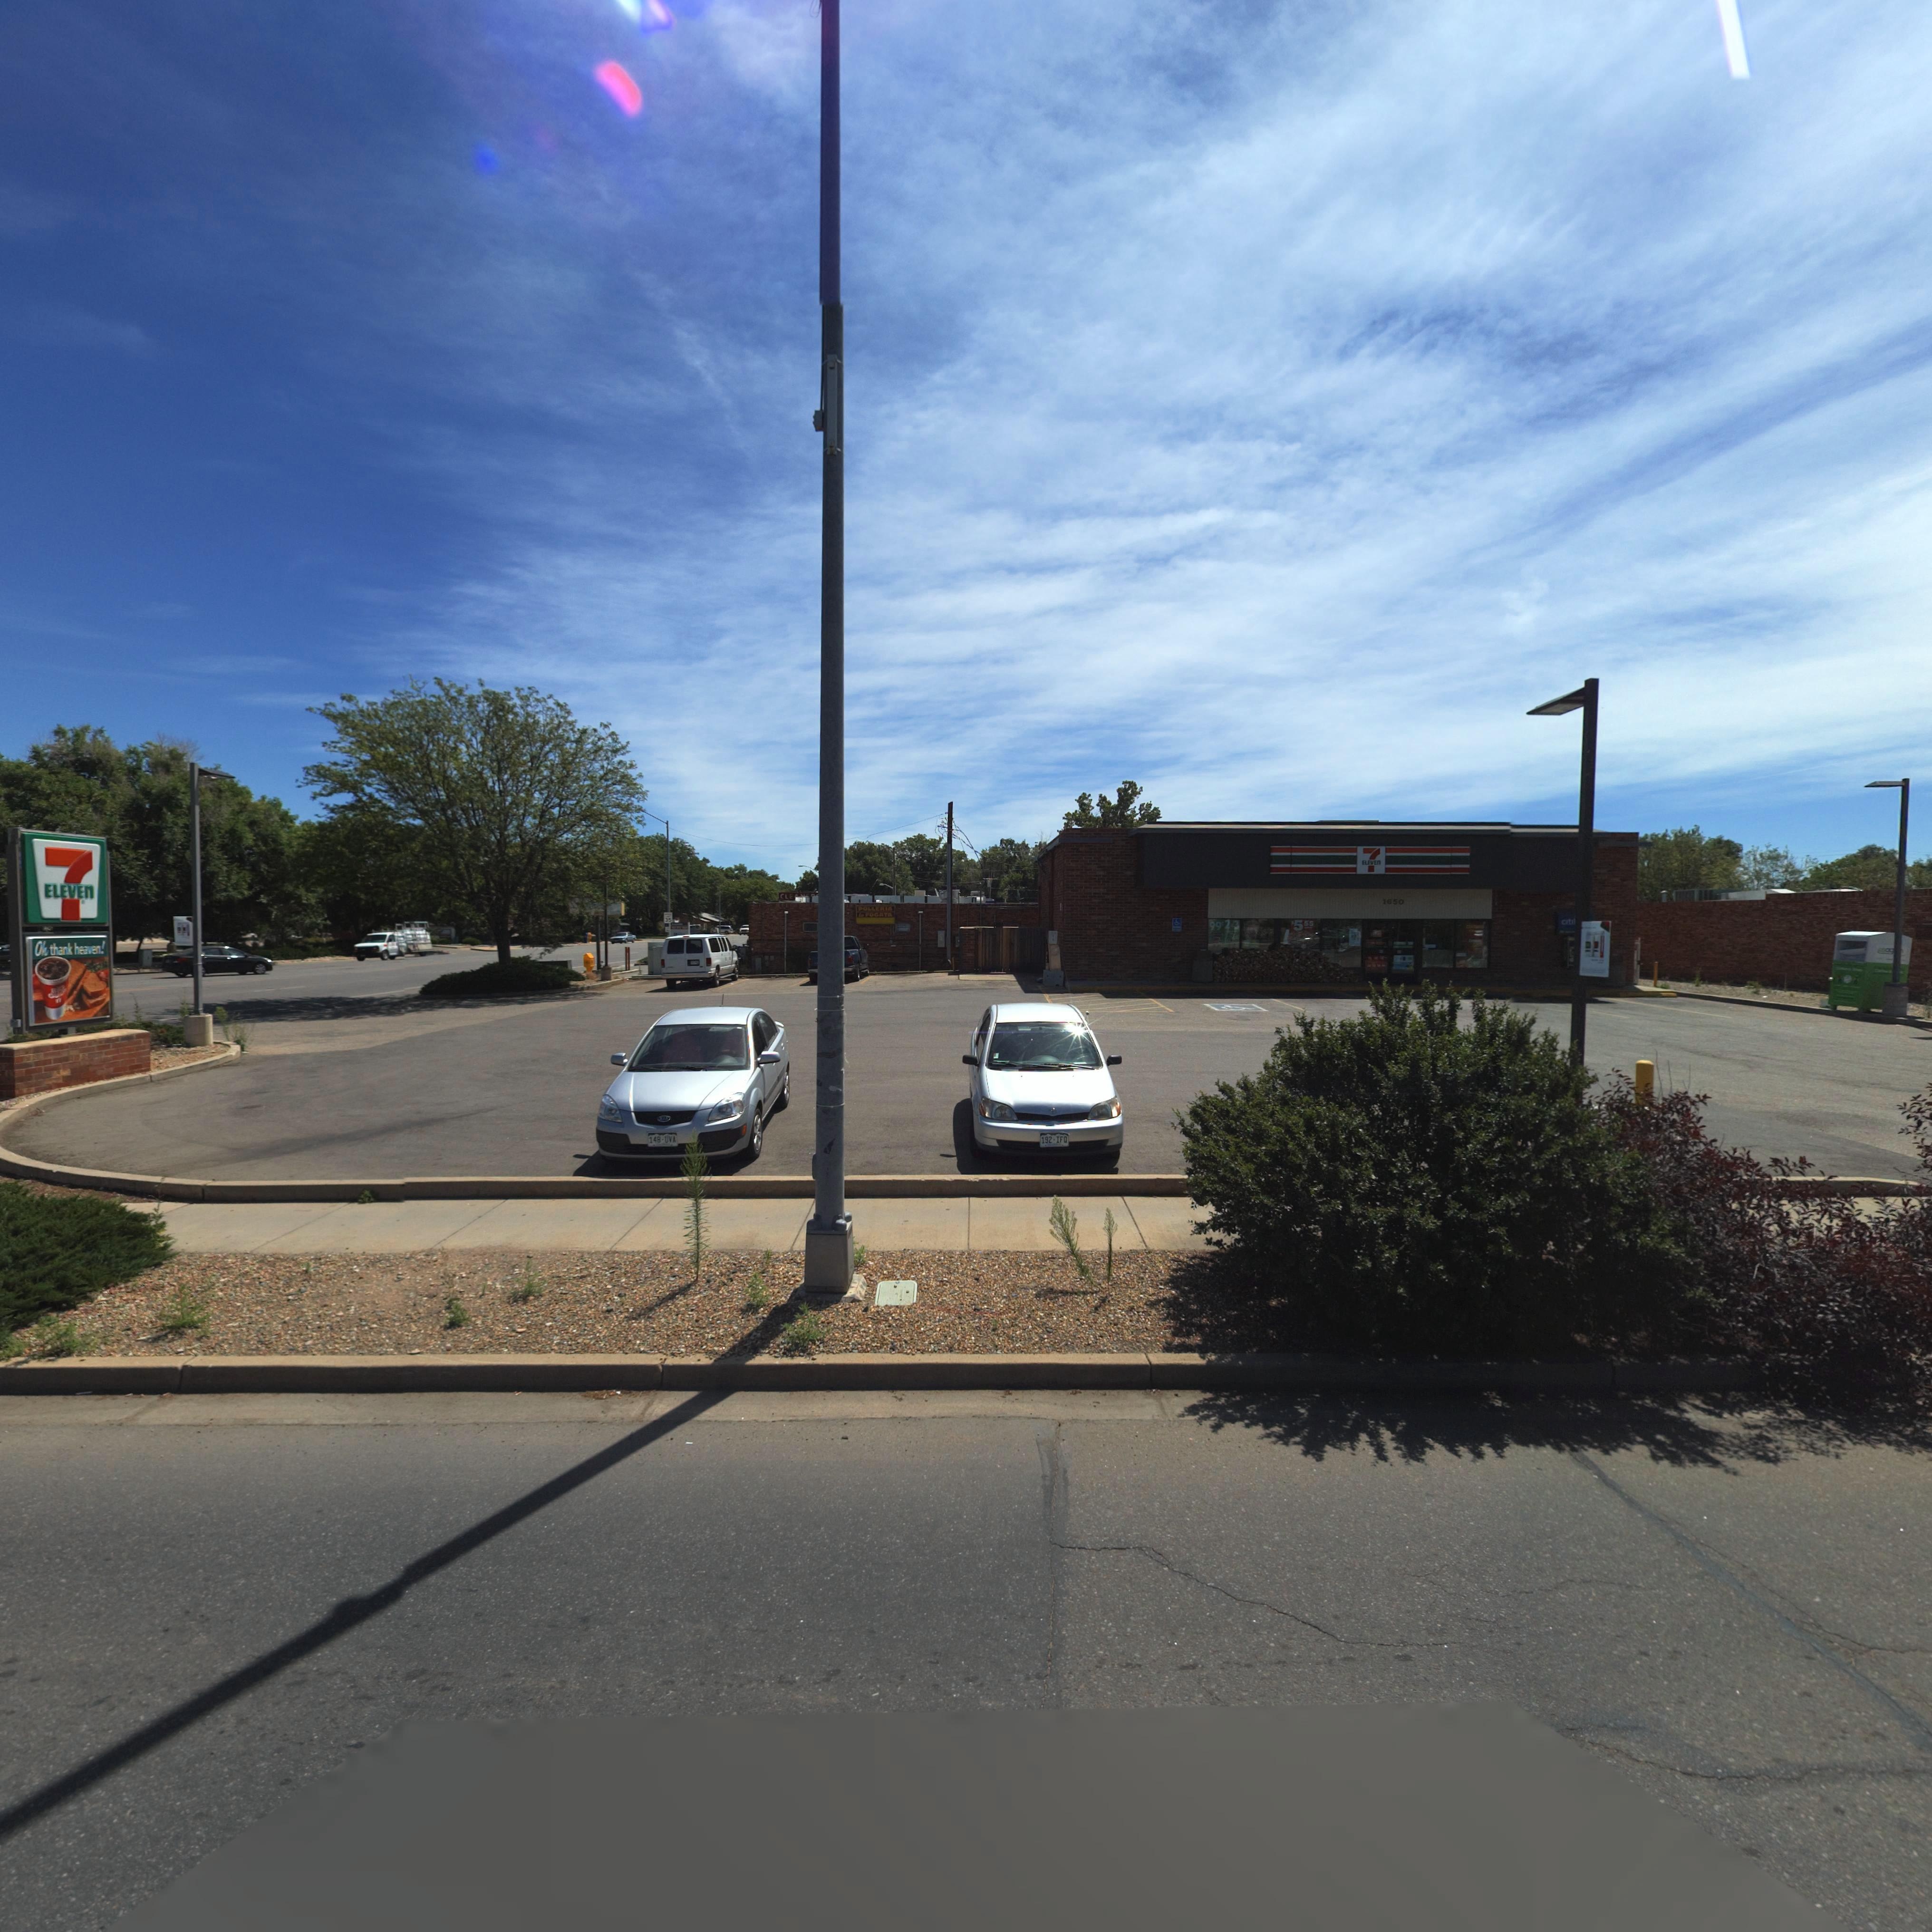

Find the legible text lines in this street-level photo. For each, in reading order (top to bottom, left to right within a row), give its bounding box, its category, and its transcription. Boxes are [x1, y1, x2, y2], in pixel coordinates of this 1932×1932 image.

[1362, 847, 1381, 872] BusinessName: 7
[1362, 860, 1381, 865] BusinessName: ELEVEn
[43, 847, 94, 921] BusinessName: 7
[43, 882, 94, 898] BusinessName: ELEVEn
[780, 893, 798, 899] BusinessName: CLE*
[1382, 898, 1404, 905] StreetNumber: 1650
[858, 906, 892, 911] BusinessName: POLL**IA
[858, 912, 892, 917] BusinessName: la *OGATA